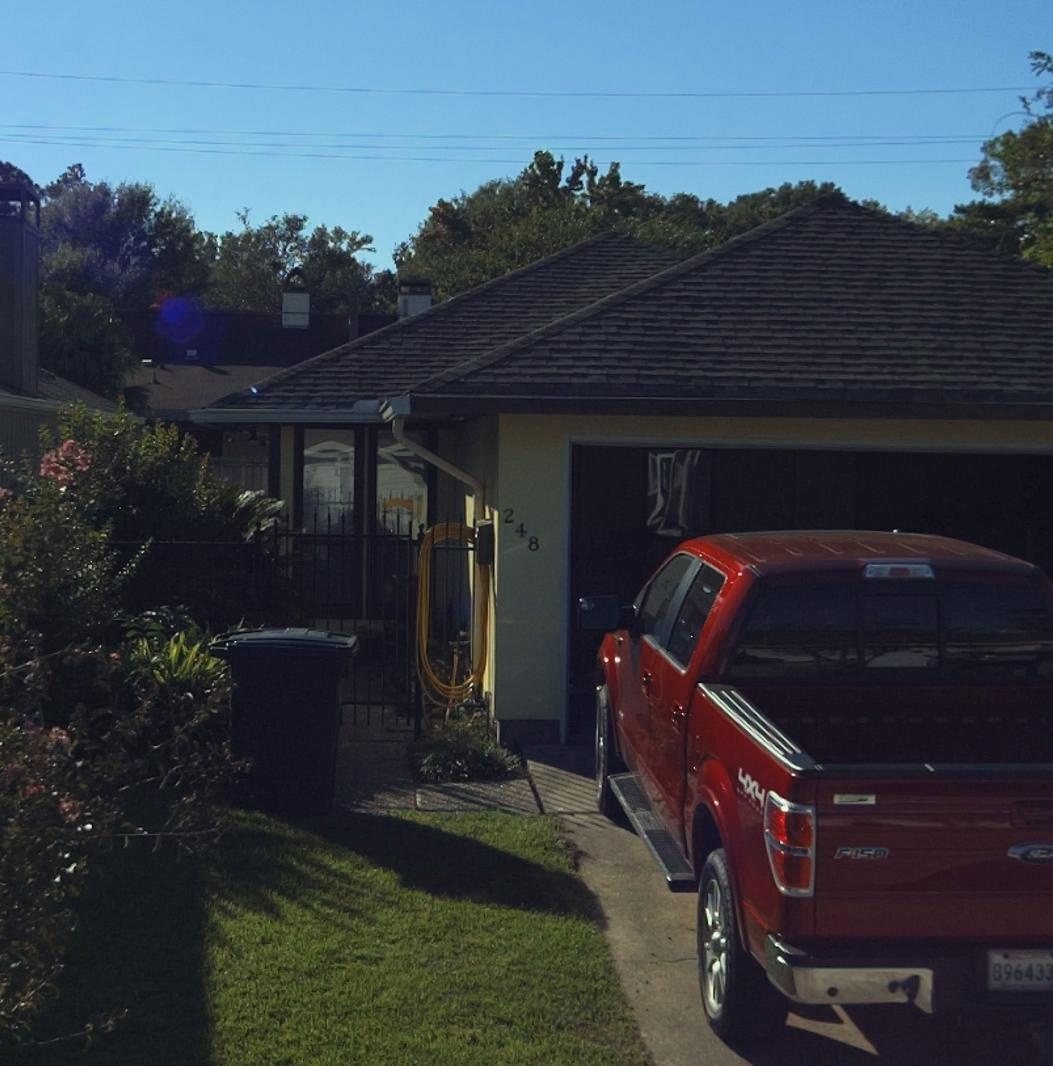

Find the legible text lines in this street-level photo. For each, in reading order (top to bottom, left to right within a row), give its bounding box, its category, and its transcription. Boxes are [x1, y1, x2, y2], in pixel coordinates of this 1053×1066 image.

[503, 508, 540, 552] StreetNumber: 248
[736, 764, 767, 810] None: 4X4
[834, 846, 890, 860] None: F-150
[990, 961, 1053, 982] None: 896433